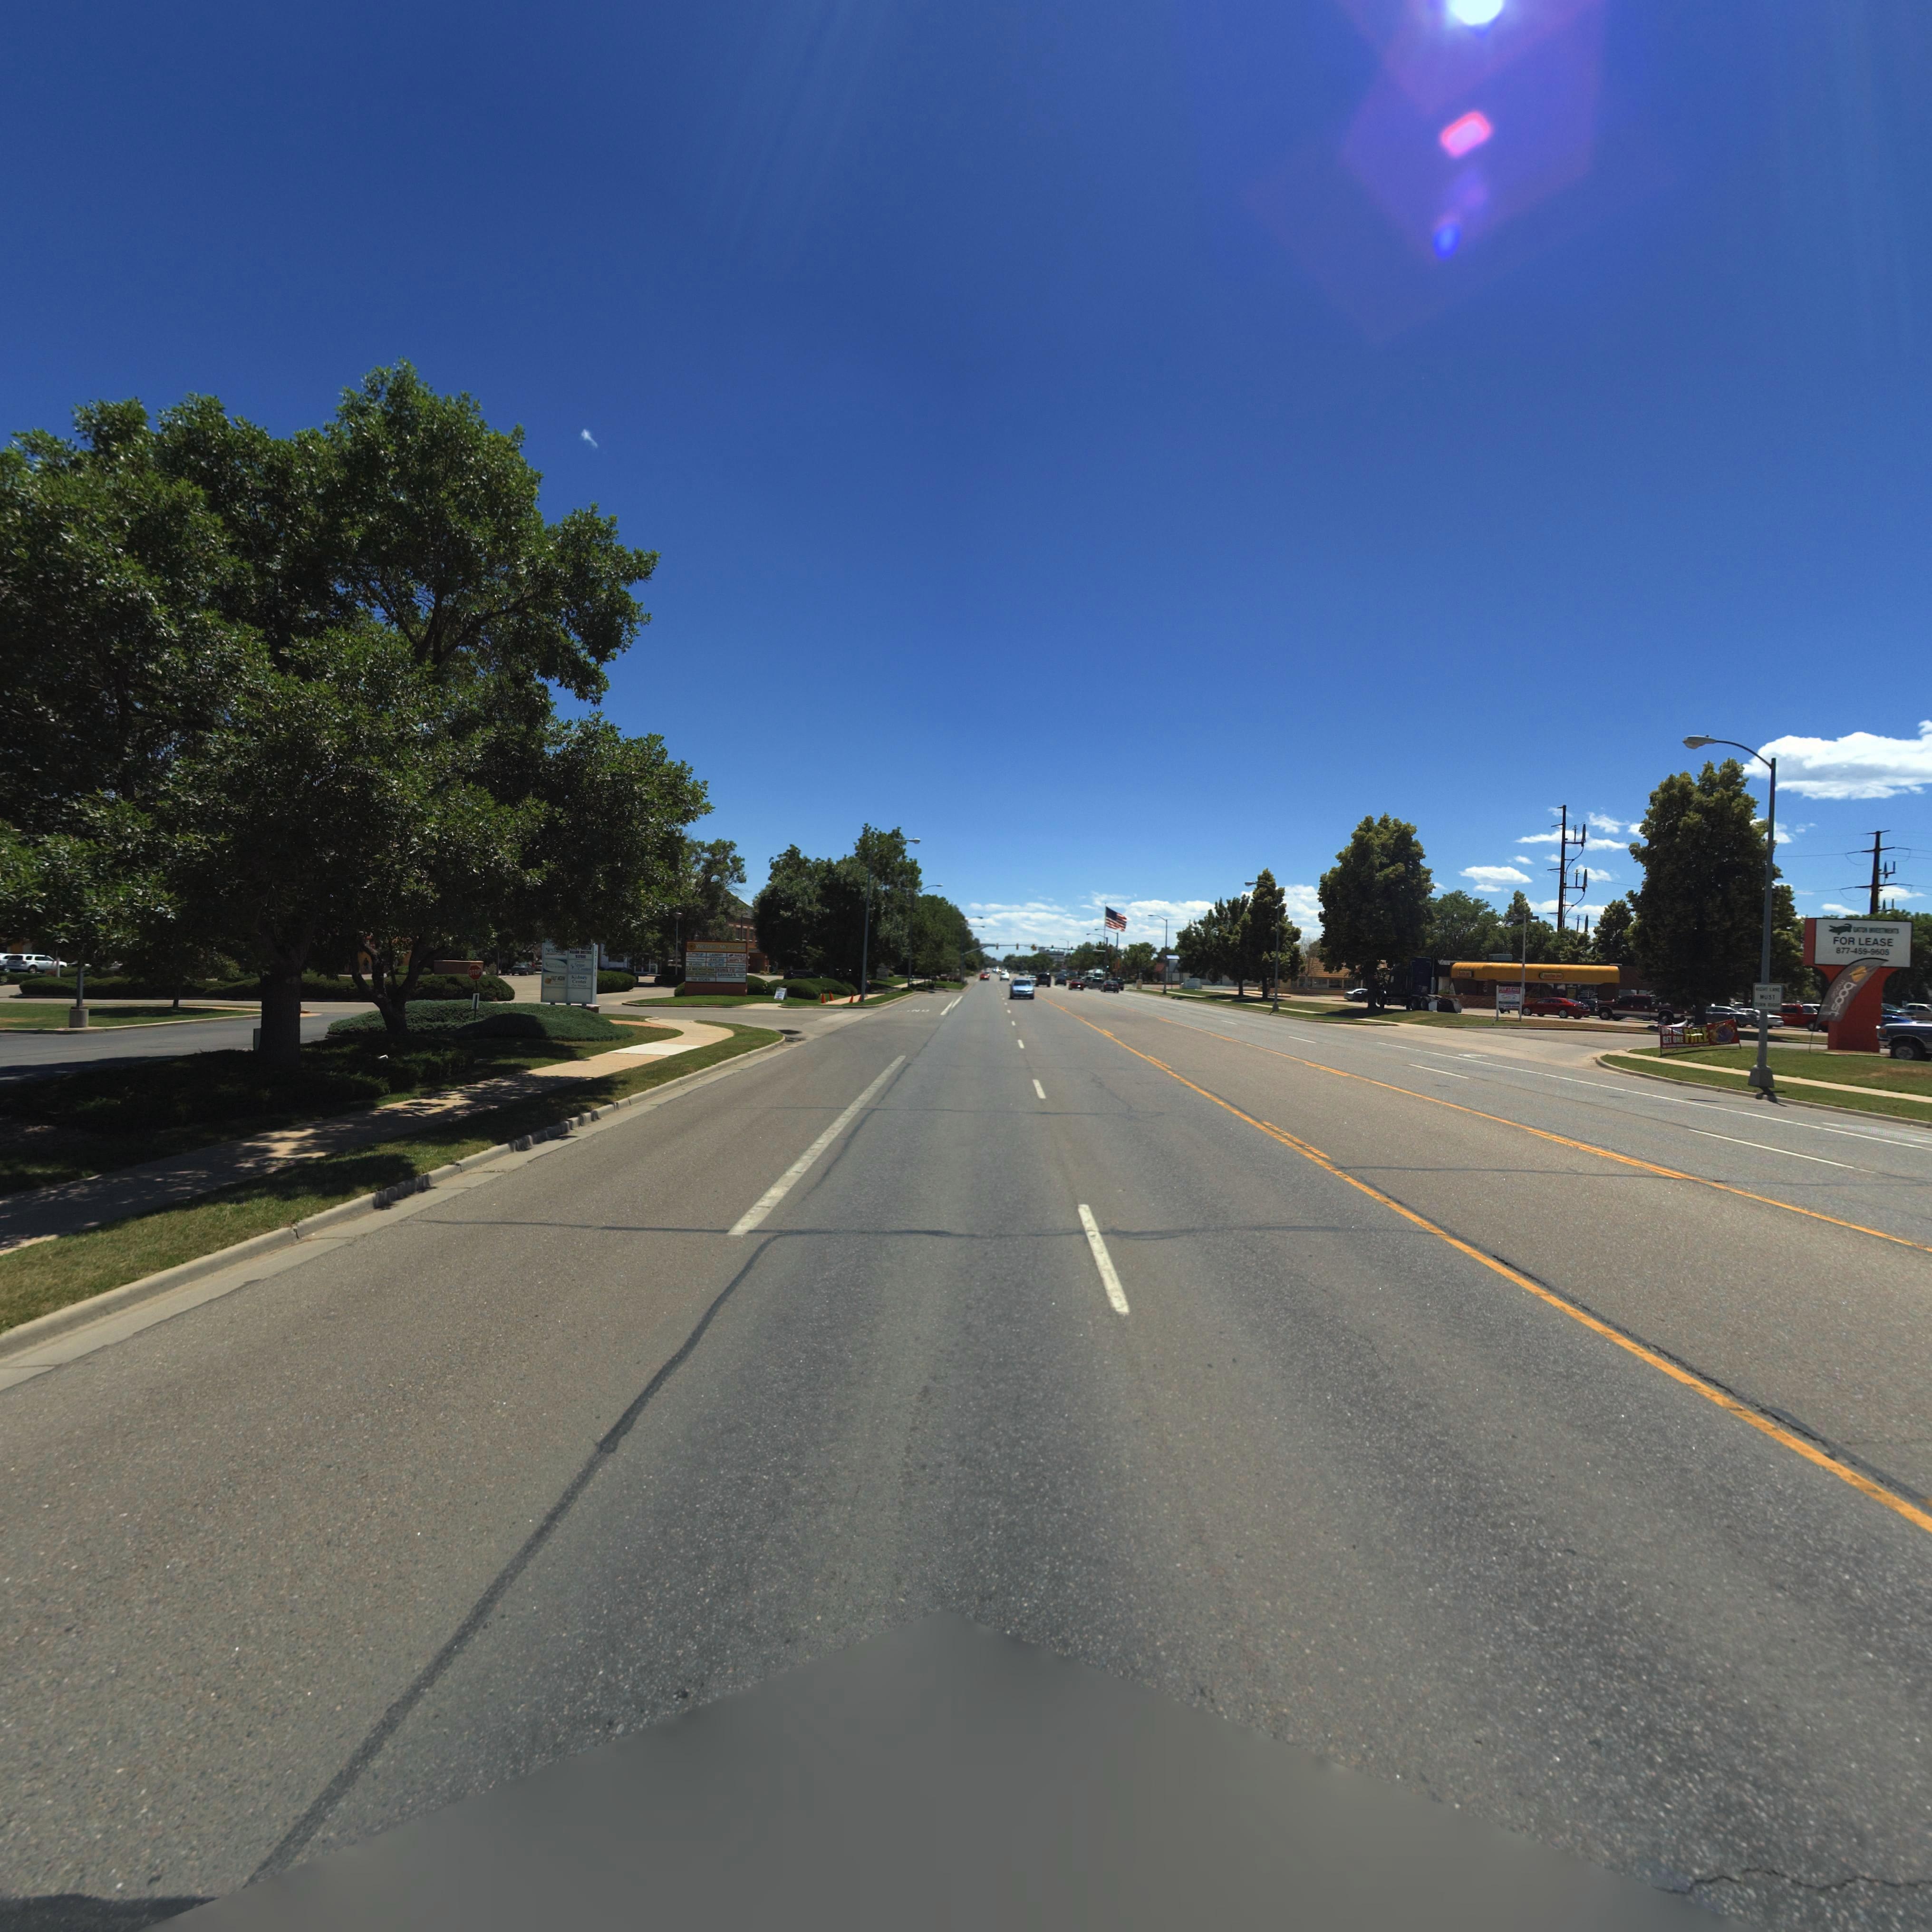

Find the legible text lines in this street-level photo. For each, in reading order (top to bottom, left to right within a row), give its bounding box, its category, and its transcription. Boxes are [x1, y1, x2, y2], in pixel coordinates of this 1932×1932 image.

[545, 946, 555, 953] BusinessName: Ned
[569, 950, 592, 955] BusinessName: AS*** B**TRO
[727, 958, 746, 963] BusinessName: LIBERTY TAX
[593, 950, 597, 977] StreetNumber: 2144
[577, 966, 592, 971] BusinessName: Center
[686, 967, 715, 971] BusinessName: LA ***********
[550, 976, 566, 981] BusinessName: BG K***
[571, 974, 587, 980] BusinessName: K*****
[716, 973, 736, 976] BusinessName: G*Y****
[571, 979, 587, 984] BusinessName: Cr****